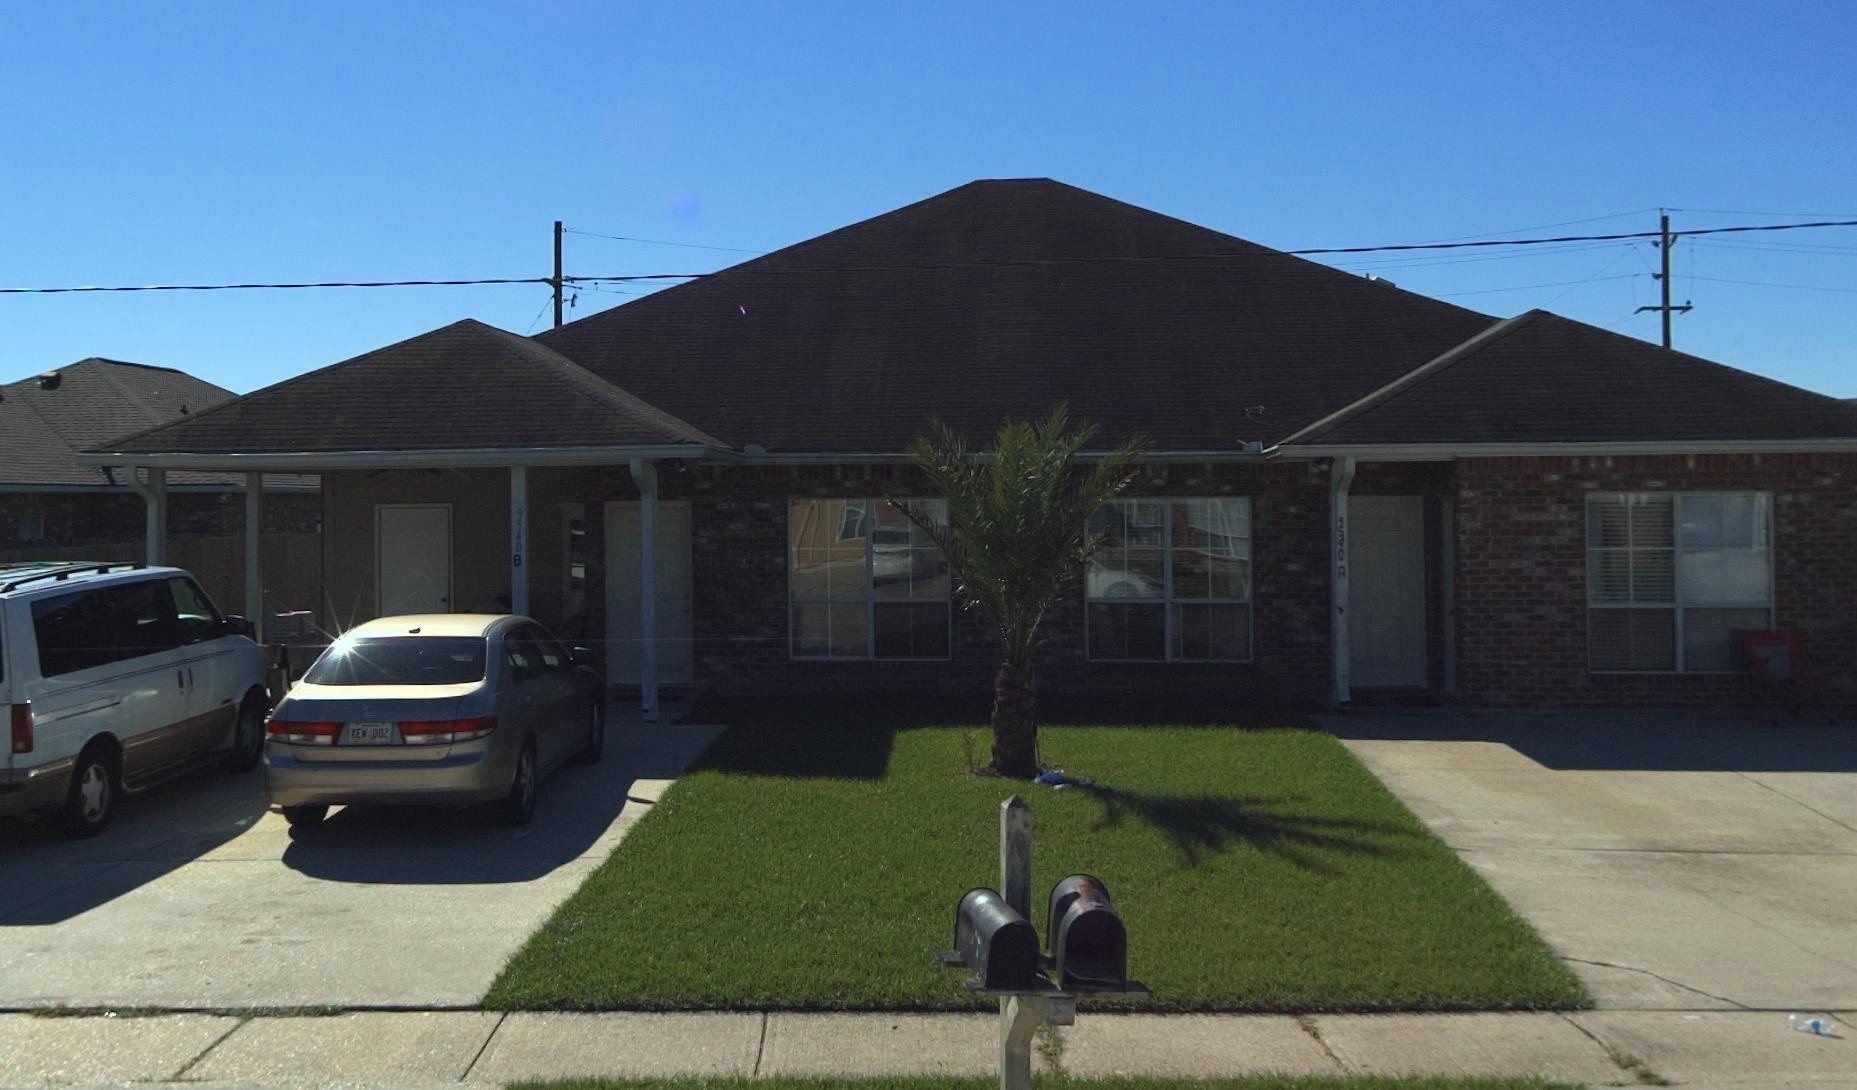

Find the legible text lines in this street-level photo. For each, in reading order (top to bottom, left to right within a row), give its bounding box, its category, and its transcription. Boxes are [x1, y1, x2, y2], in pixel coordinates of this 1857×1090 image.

[511, 505, 526, 570] StreetNumber: 9740 B
[1334, 513, 1348, 581] StreetNumber: 9590 A
[348, 725, 391, 741] None: KEW*002